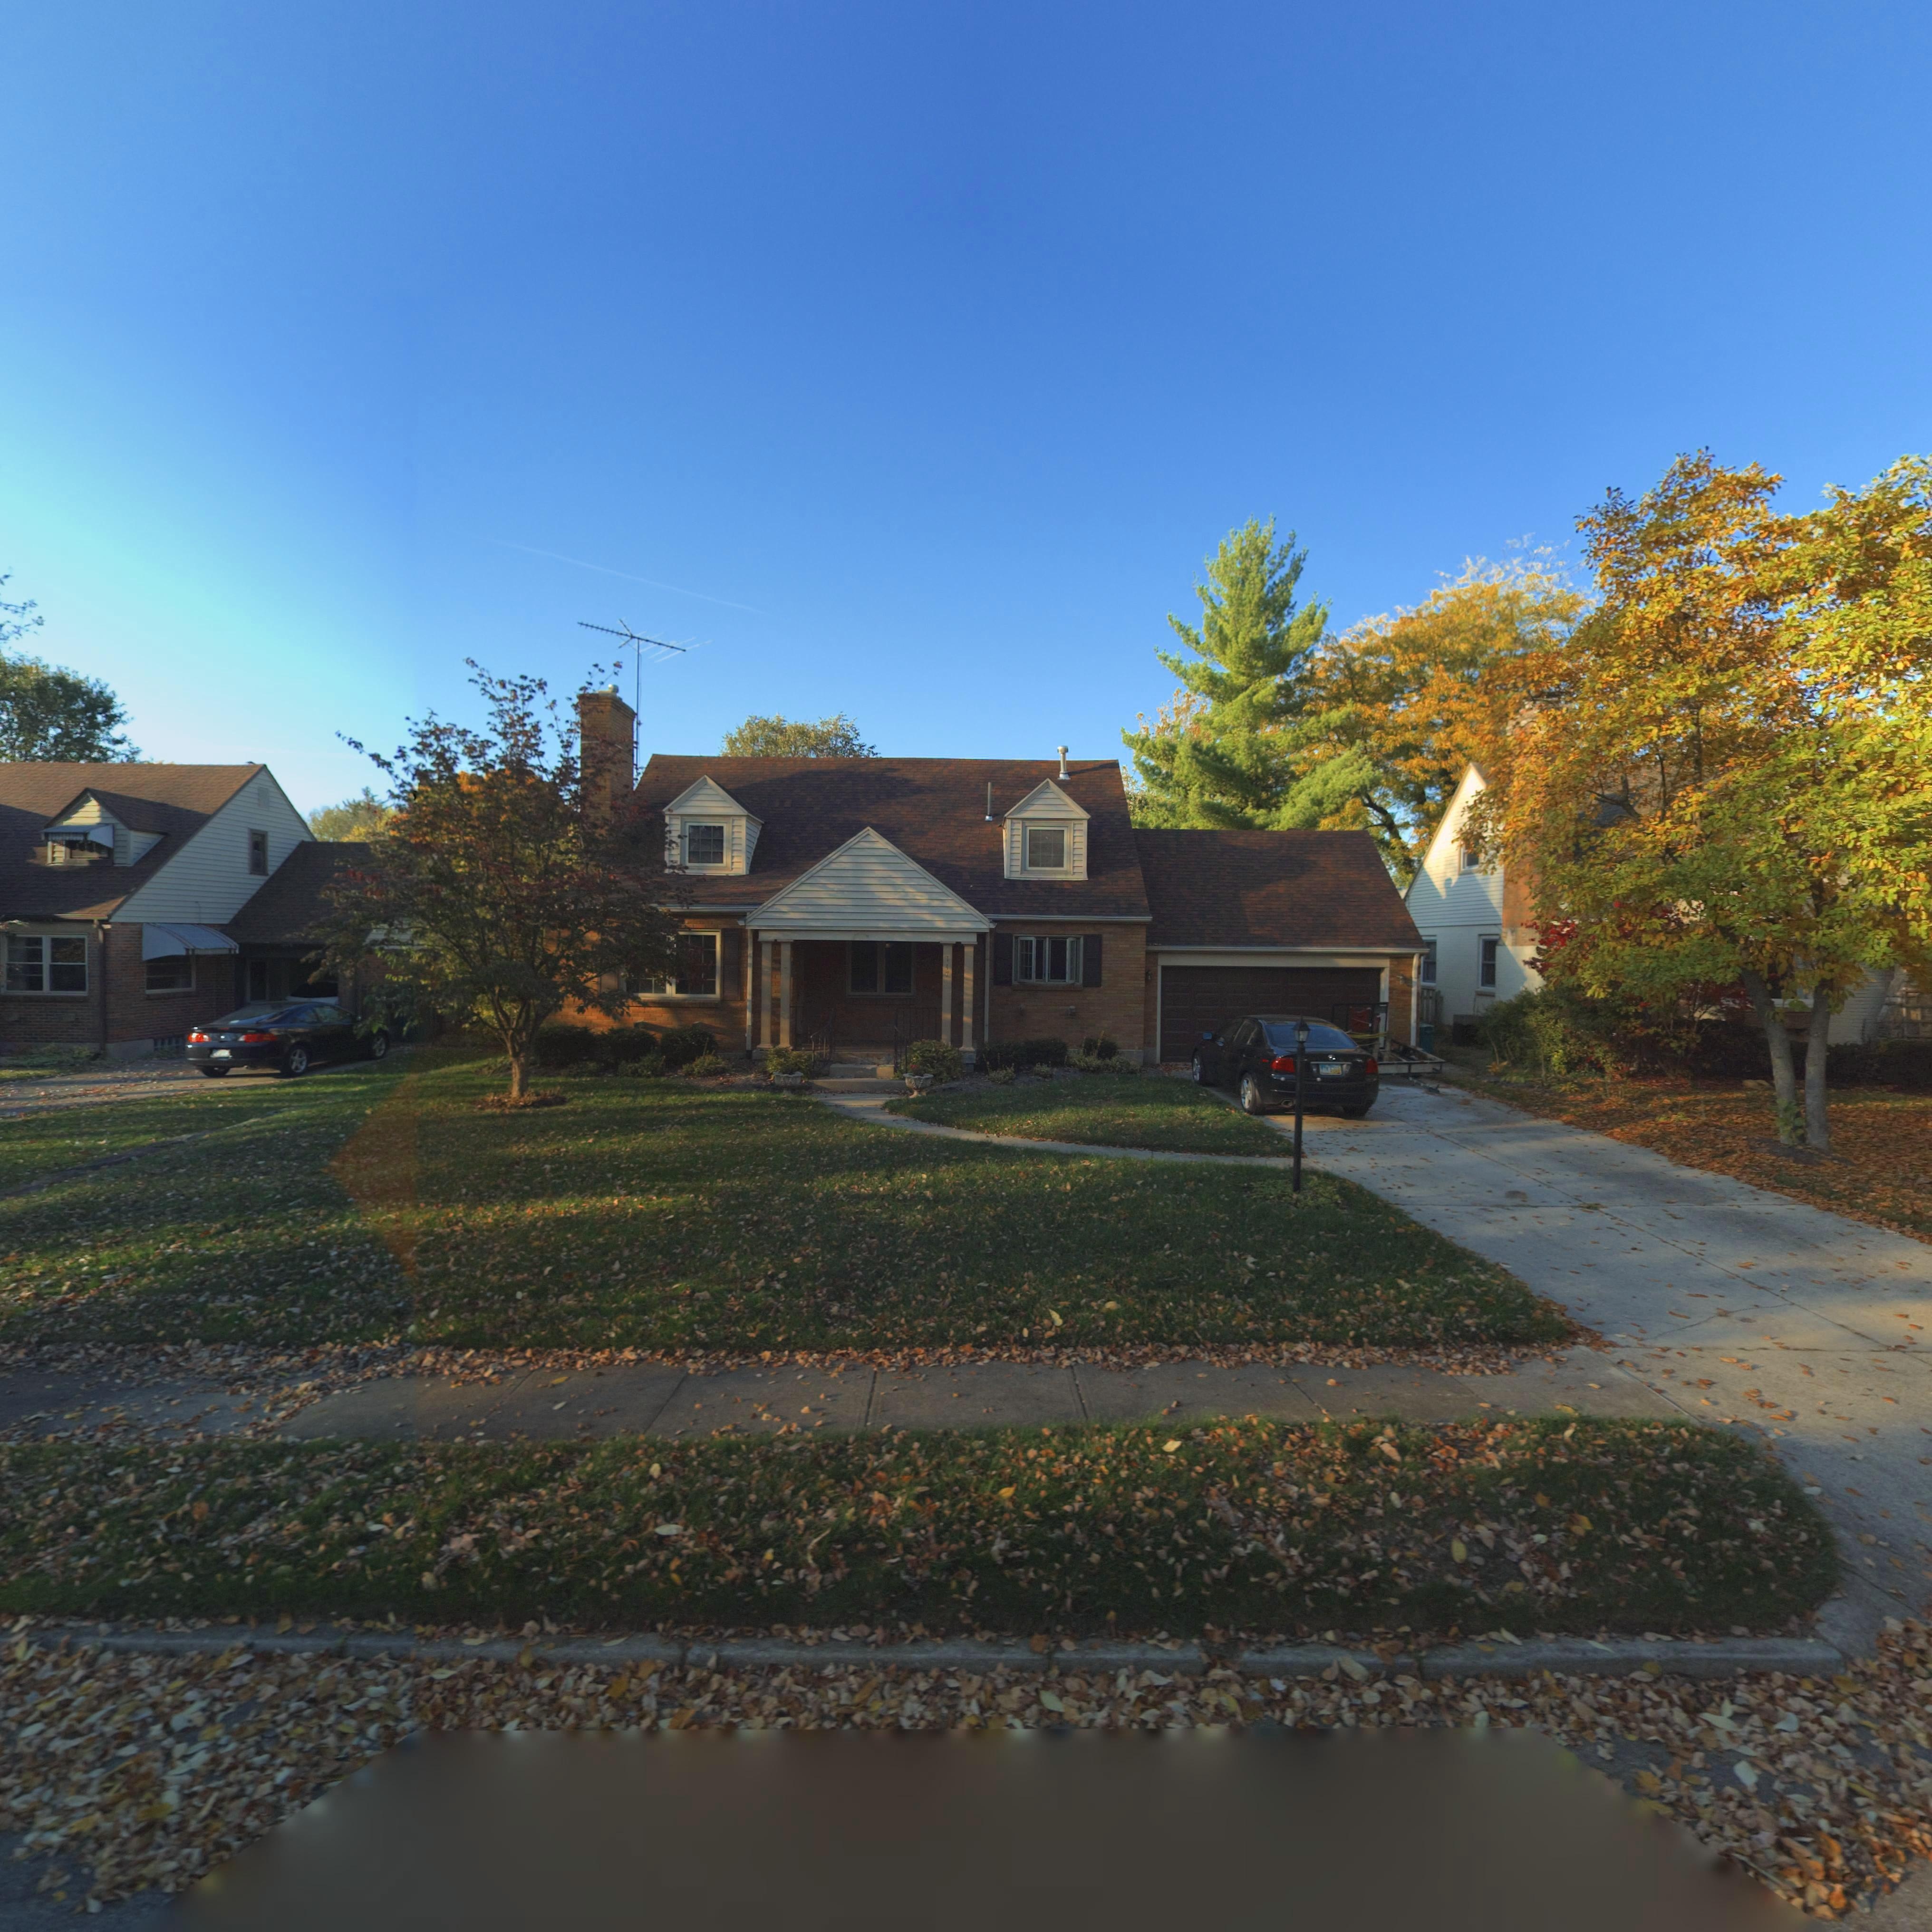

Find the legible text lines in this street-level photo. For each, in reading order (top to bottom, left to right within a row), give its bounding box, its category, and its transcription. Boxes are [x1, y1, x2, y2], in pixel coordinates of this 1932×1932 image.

[945, 956, 949, 977] StreetNumber: 147